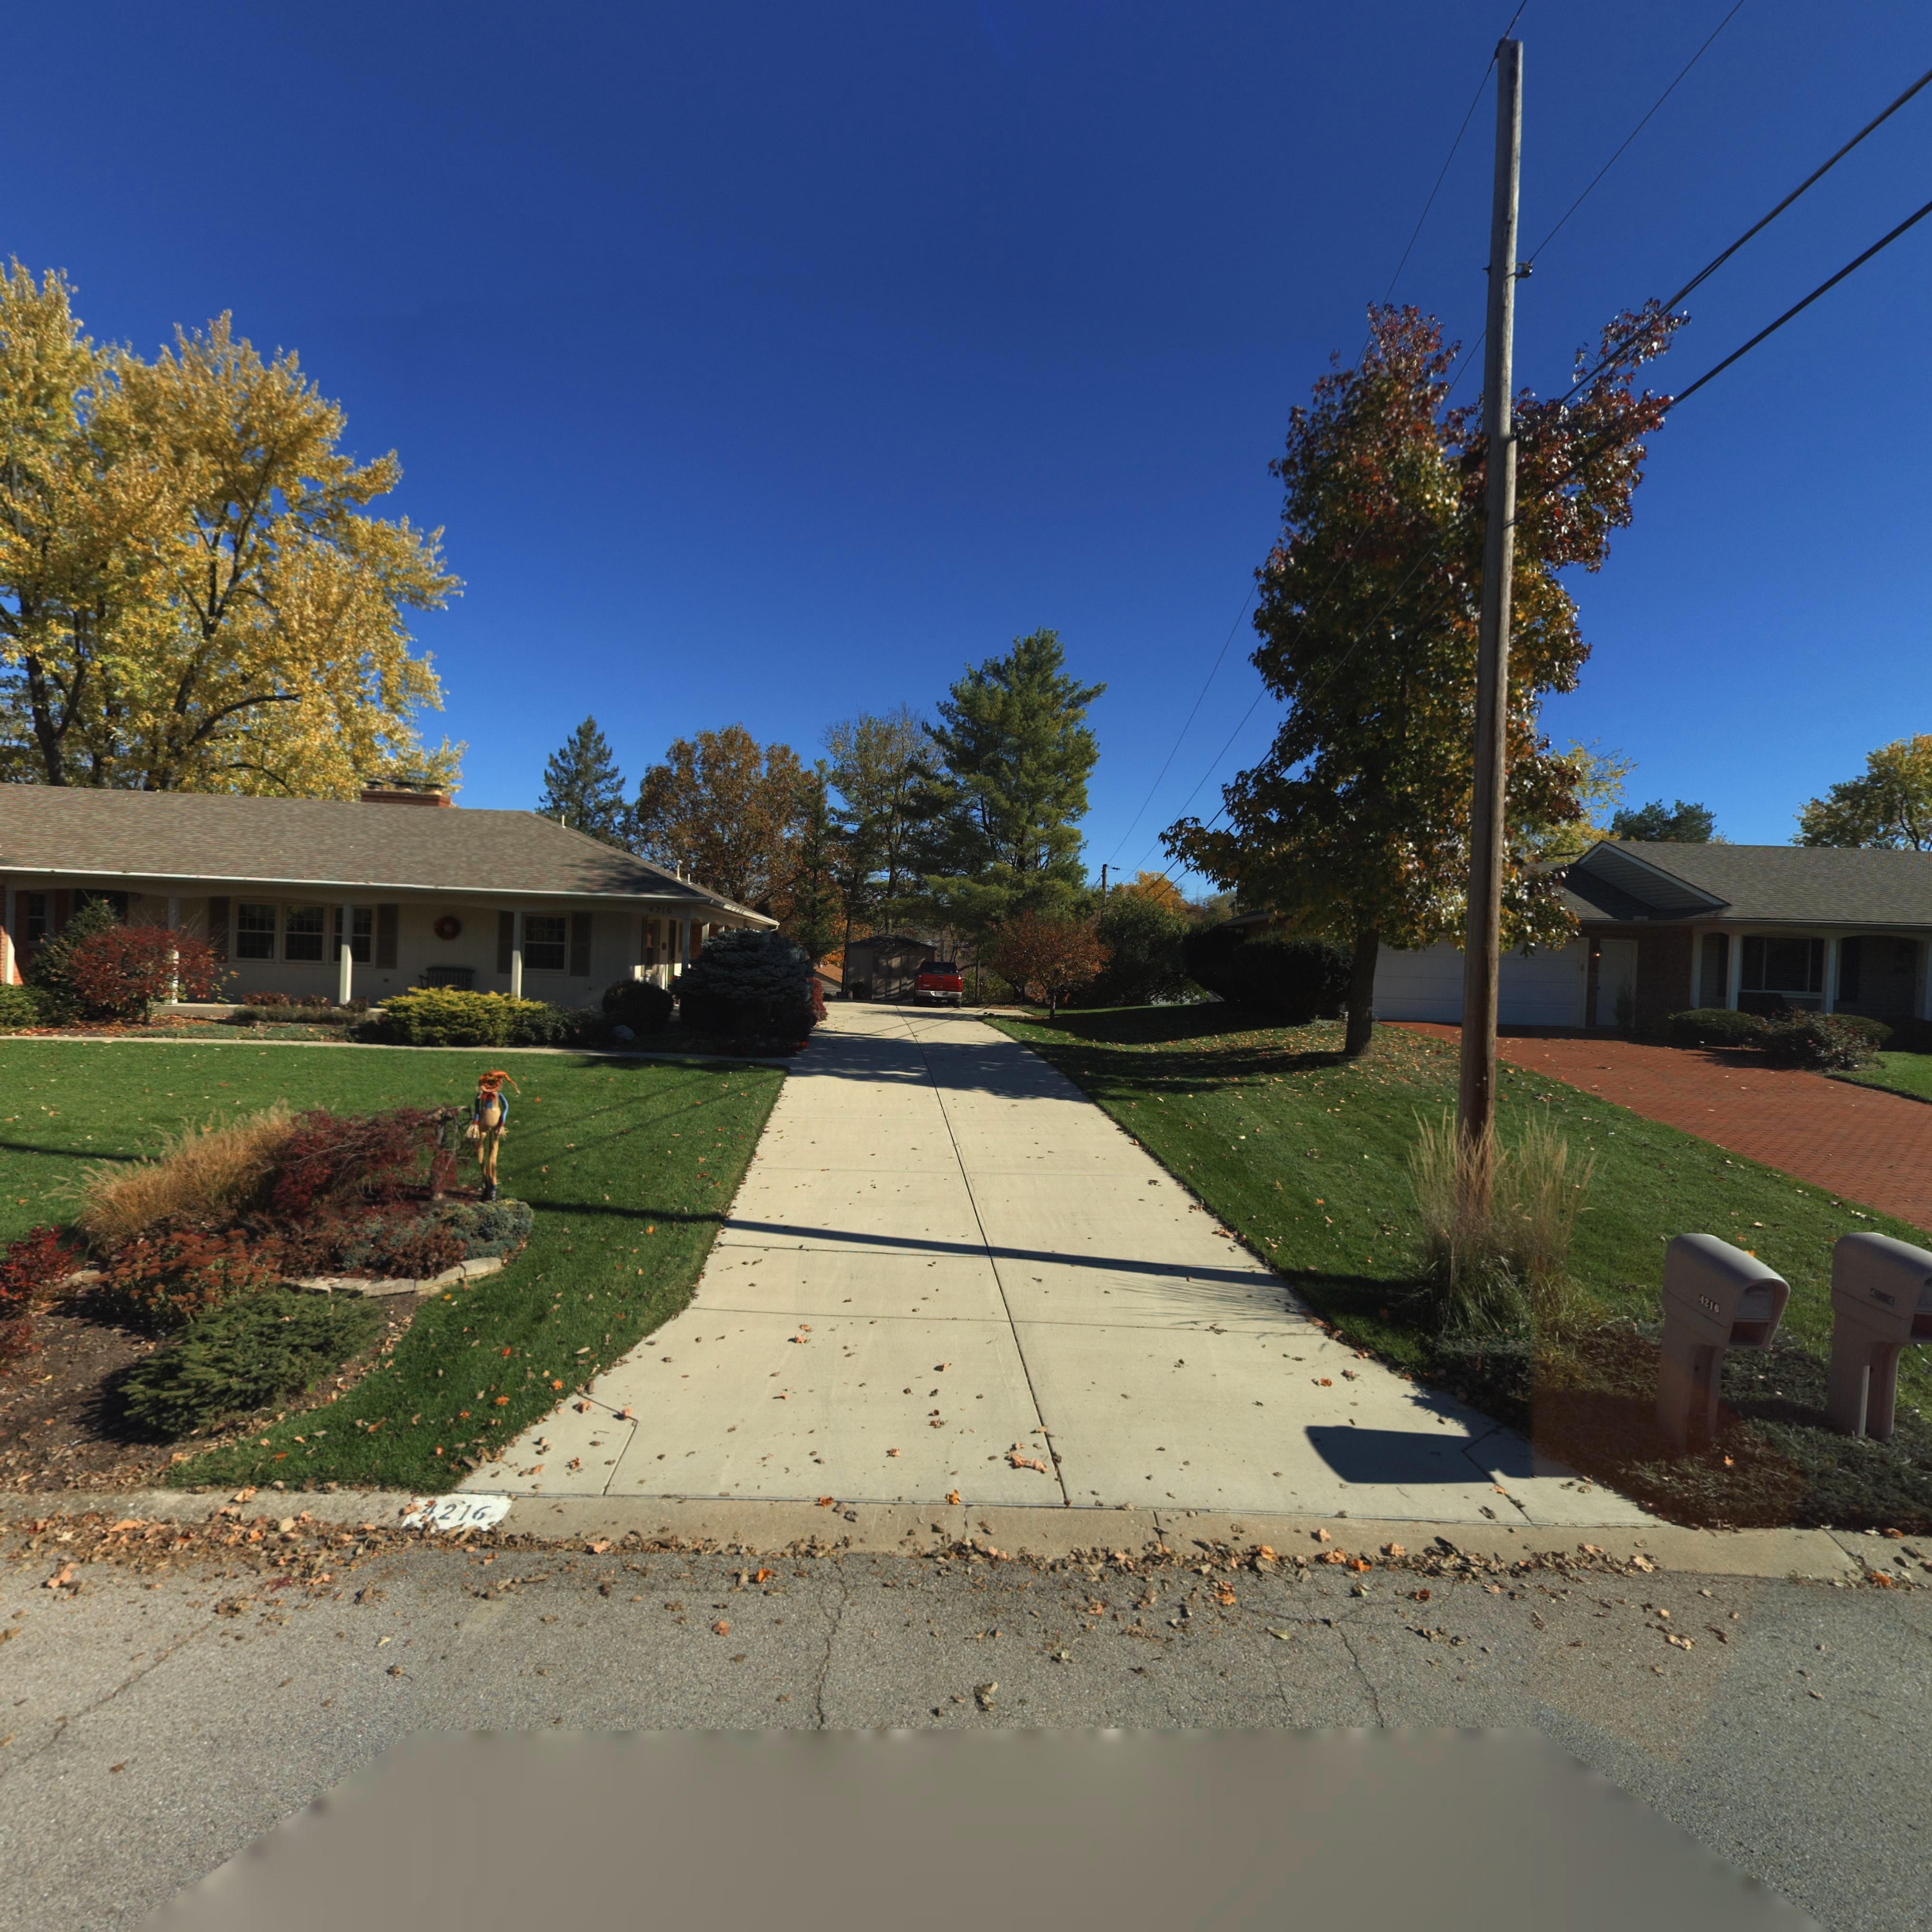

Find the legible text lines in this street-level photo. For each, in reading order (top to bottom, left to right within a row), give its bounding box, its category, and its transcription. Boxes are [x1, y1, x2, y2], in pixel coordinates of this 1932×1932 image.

[1699, 1294, 1721, 1314] StreetNumber: 4216
[417, 1501, 494, 1522] StreetNumber: 4216